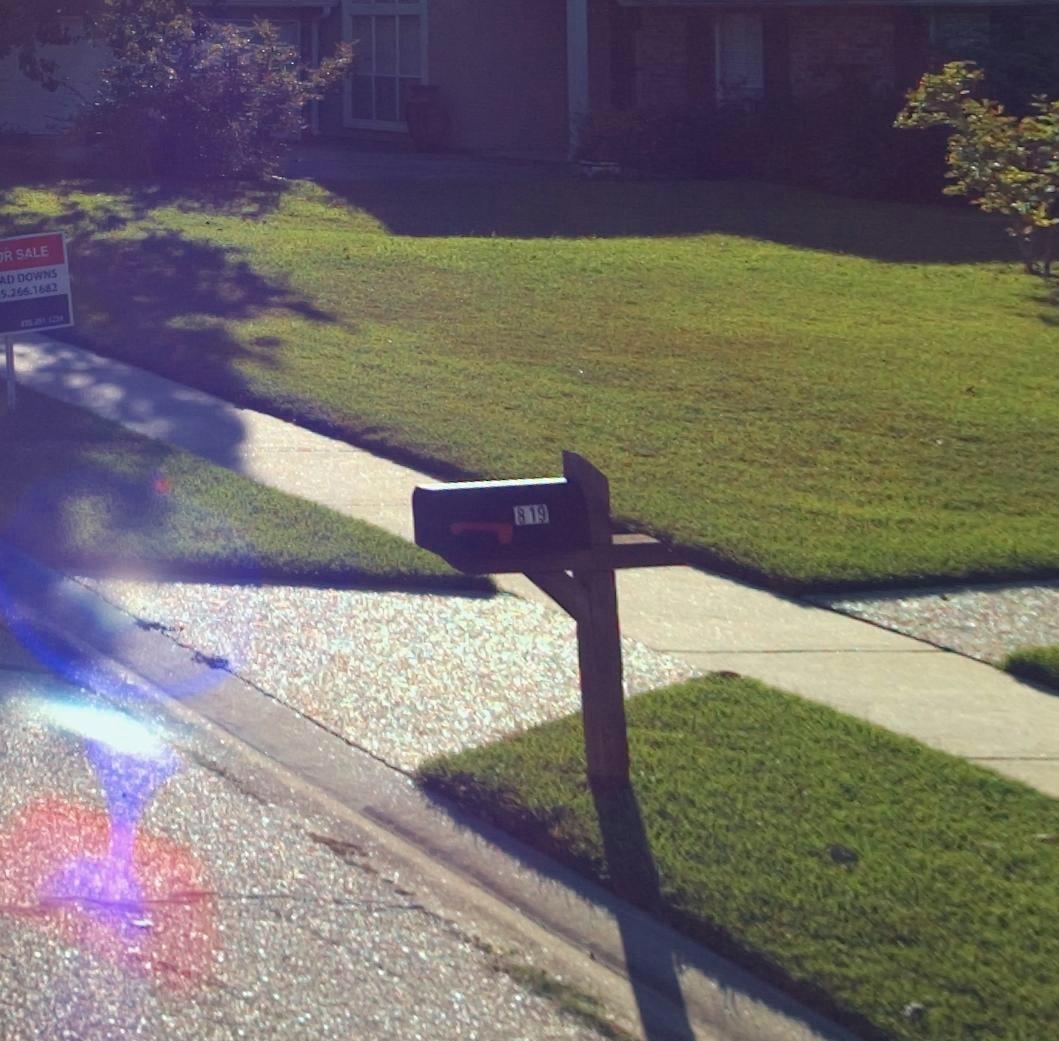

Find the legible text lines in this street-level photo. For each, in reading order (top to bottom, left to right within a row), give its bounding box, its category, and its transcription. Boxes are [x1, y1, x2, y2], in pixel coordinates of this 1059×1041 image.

[1, 241, 52, 266] None: R SALE
[4, 265, 60, 287] None: D DOWNS
[8, 278, 61, 300] None: *66.1682
[514, 504, 549, 526] StreetNumber: 819